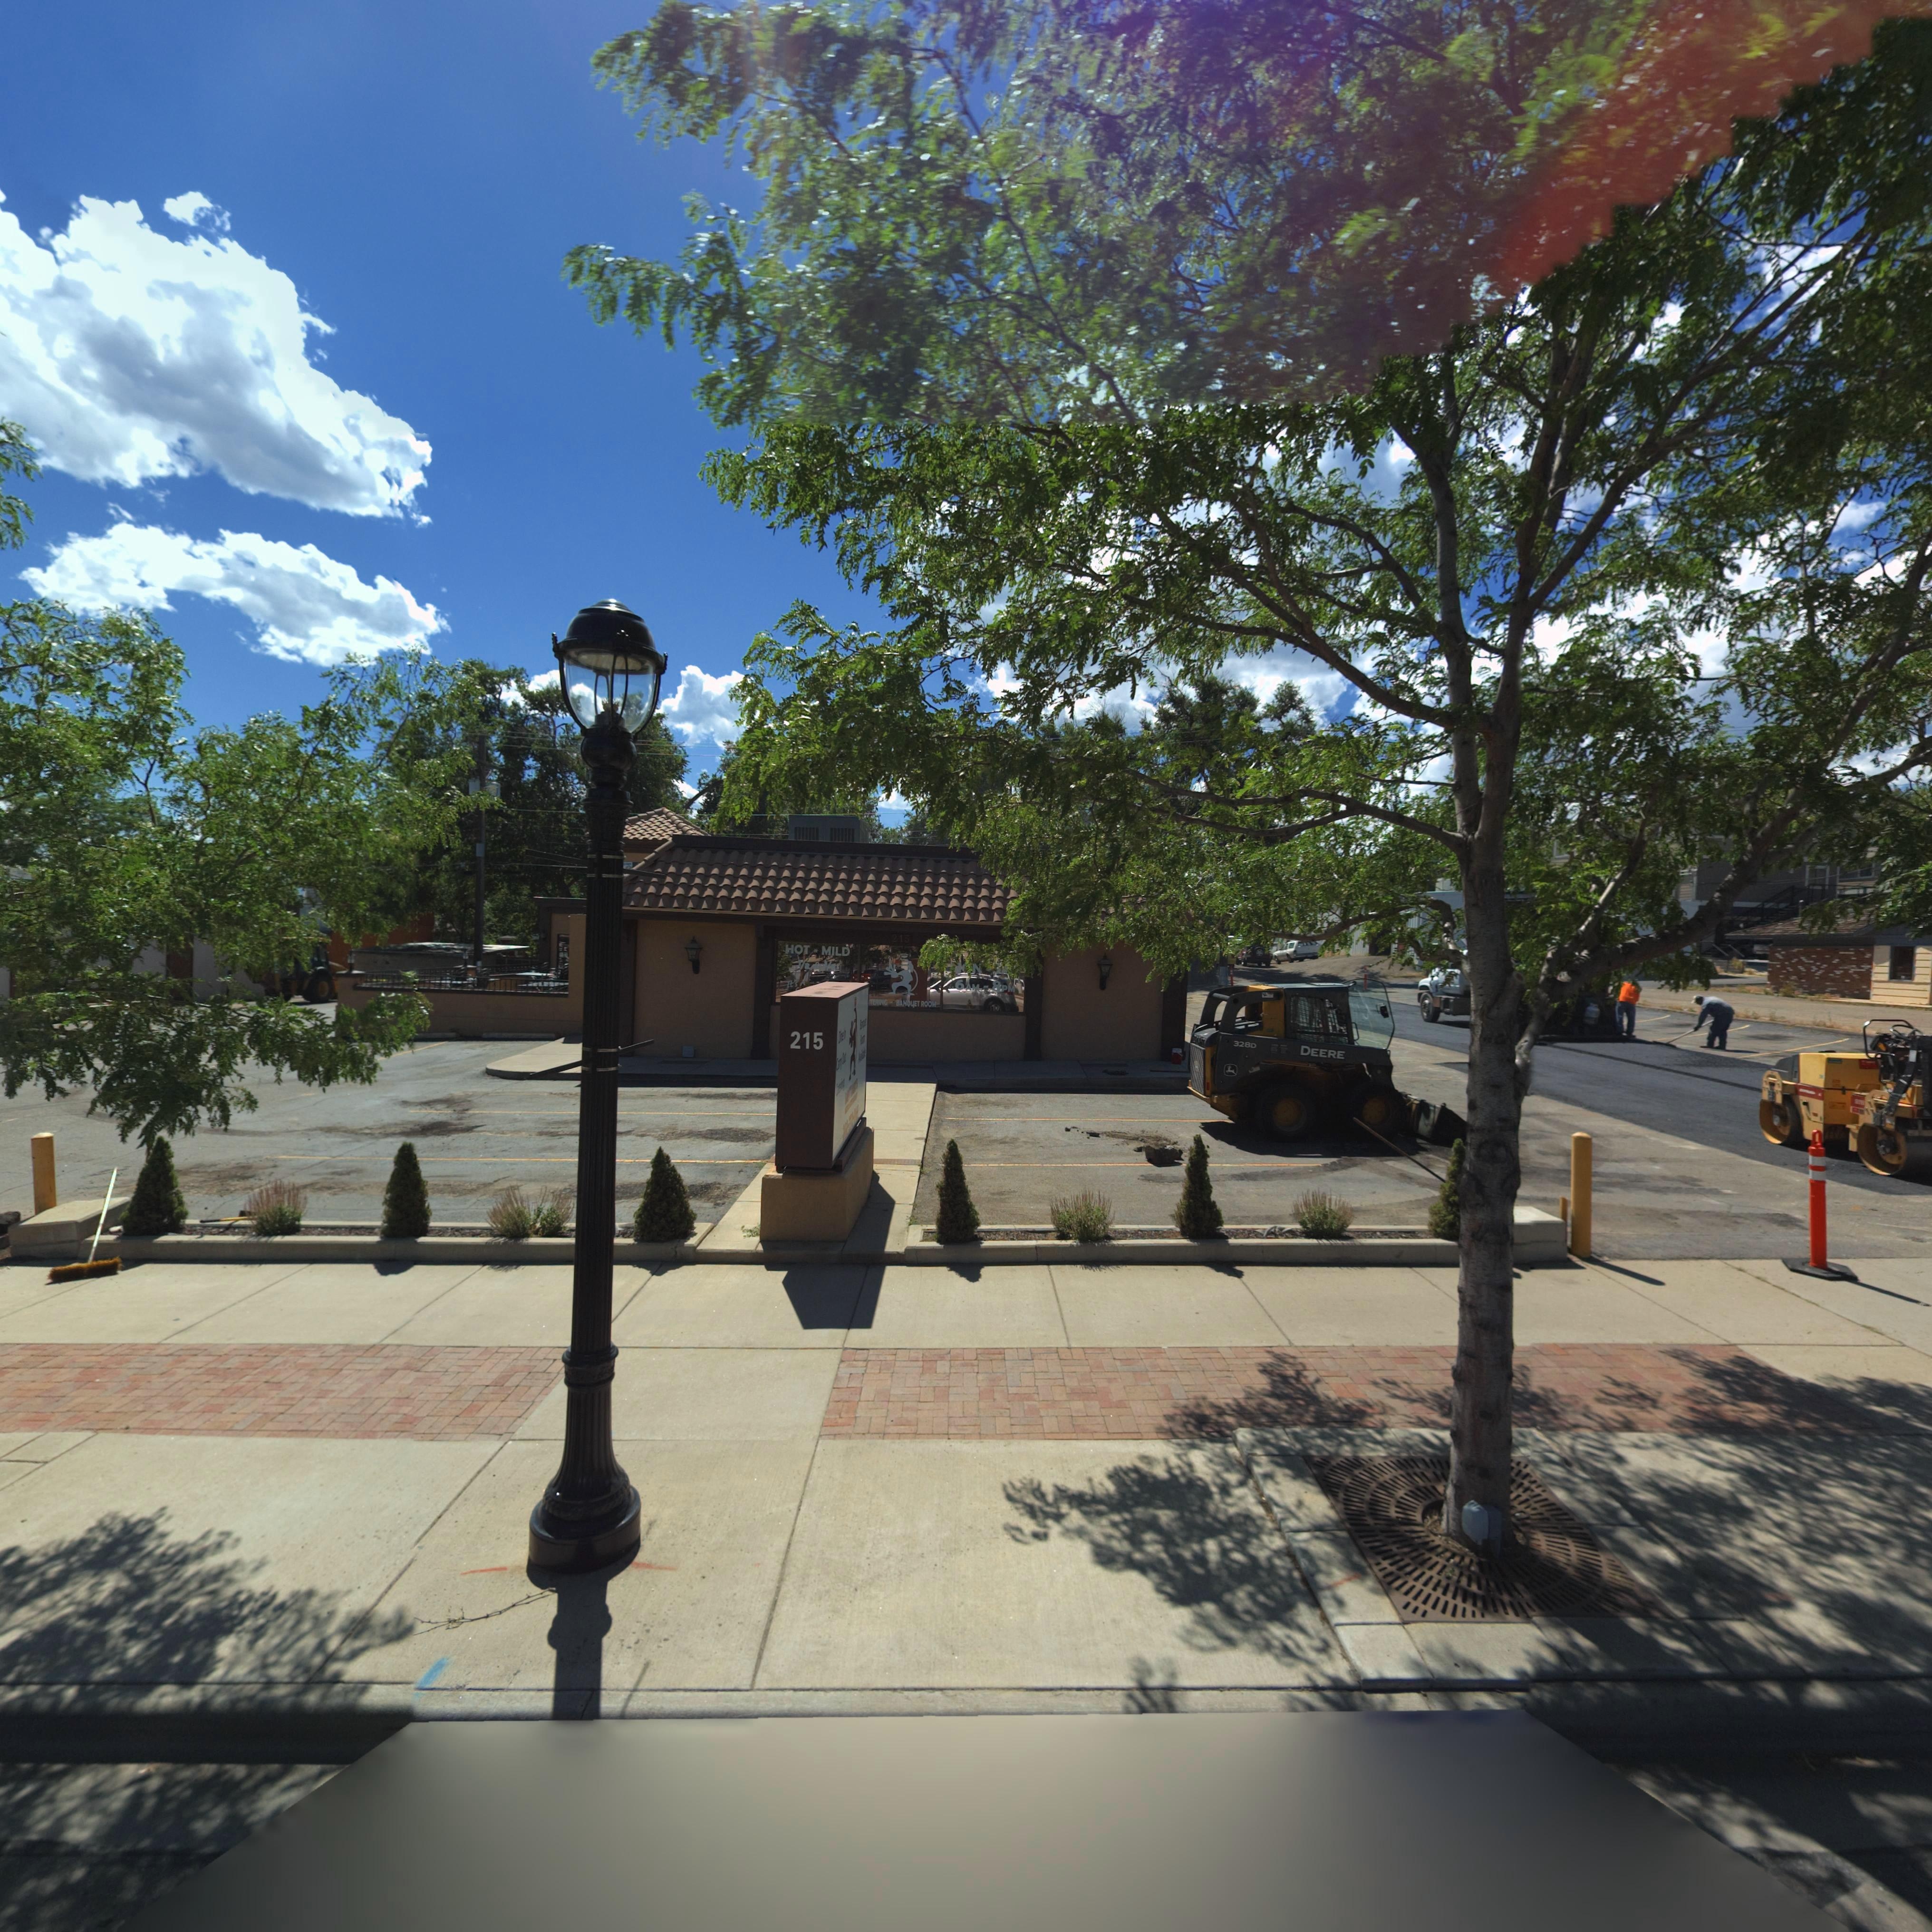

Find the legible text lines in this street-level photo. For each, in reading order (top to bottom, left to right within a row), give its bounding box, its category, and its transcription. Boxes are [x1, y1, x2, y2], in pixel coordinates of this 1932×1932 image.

[891, 934, 910, 945] StreetNumber: 215
[790, 1031, 823, 1050] StreetNumber: 215
[1240, 1040, 1257, 1052] StreetNumber: 280